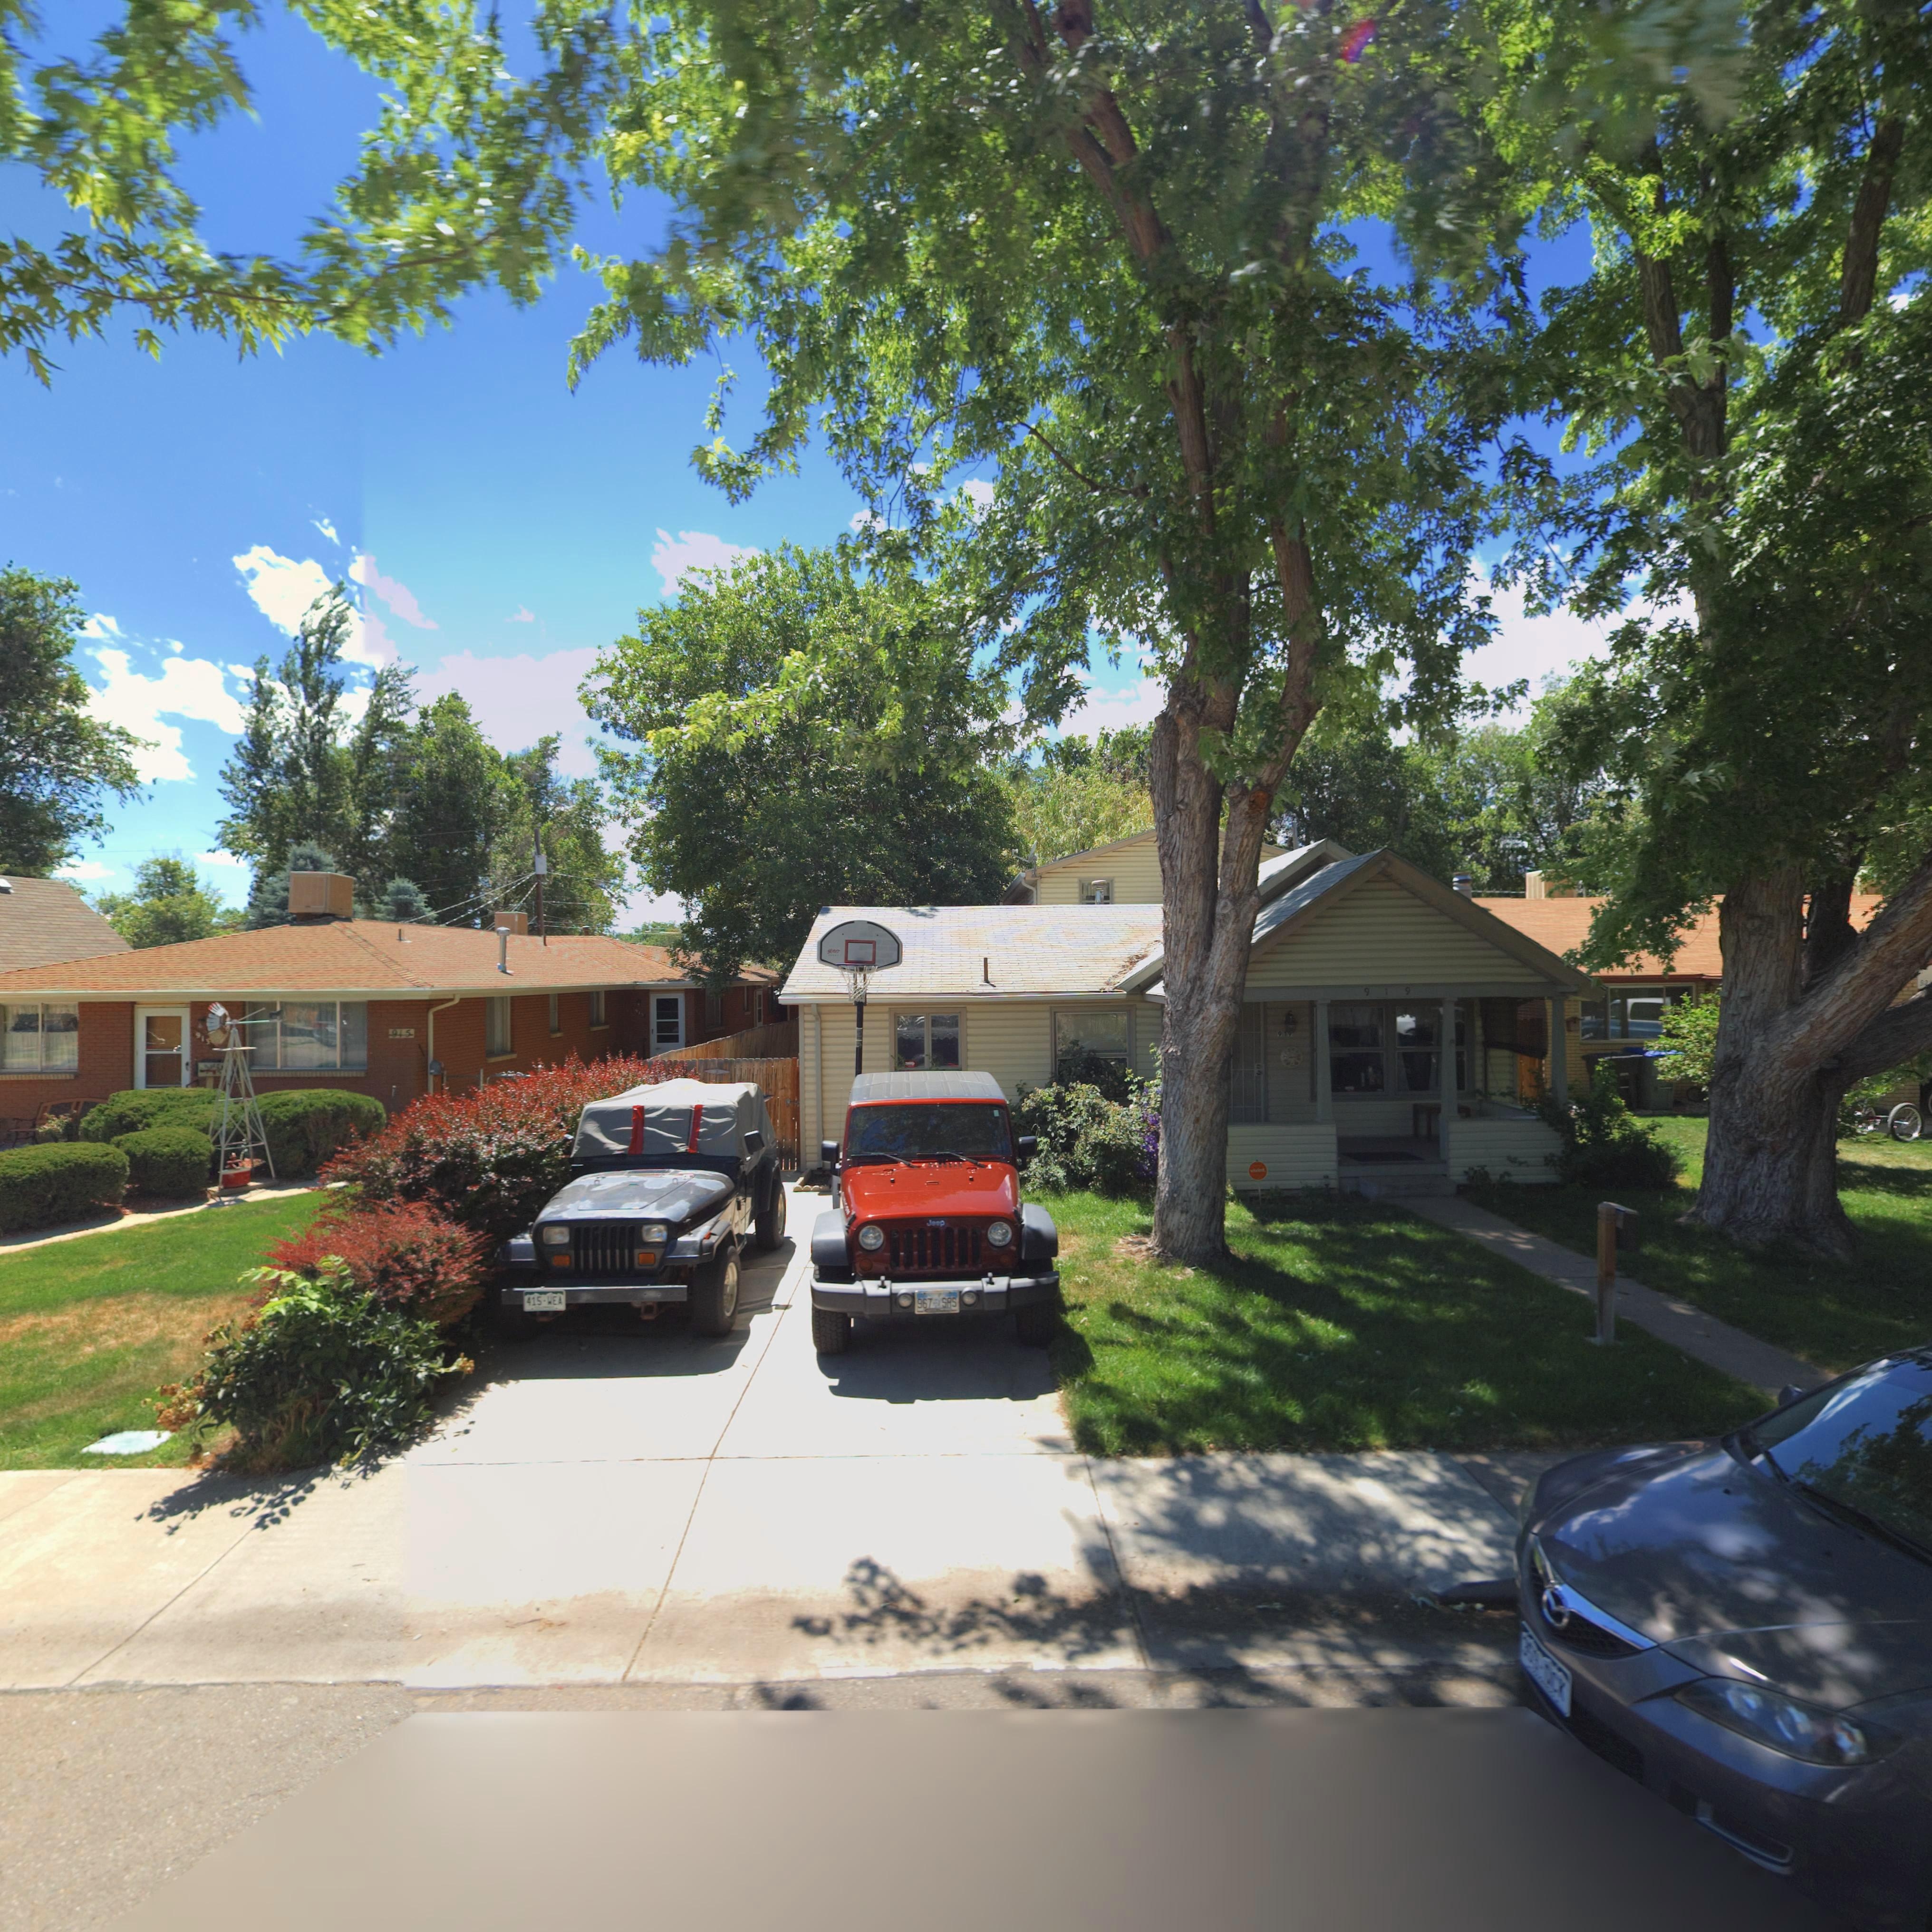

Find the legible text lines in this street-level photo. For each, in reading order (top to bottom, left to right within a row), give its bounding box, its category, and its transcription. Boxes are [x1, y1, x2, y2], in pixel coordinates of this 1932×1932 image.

[1364, 986, 1411, 996] StreetNumber: 919
[391, 1029, 411, 1038] StreetNumber: 915
[1276, 1031, 1292, 1037] StreetNumber: 919